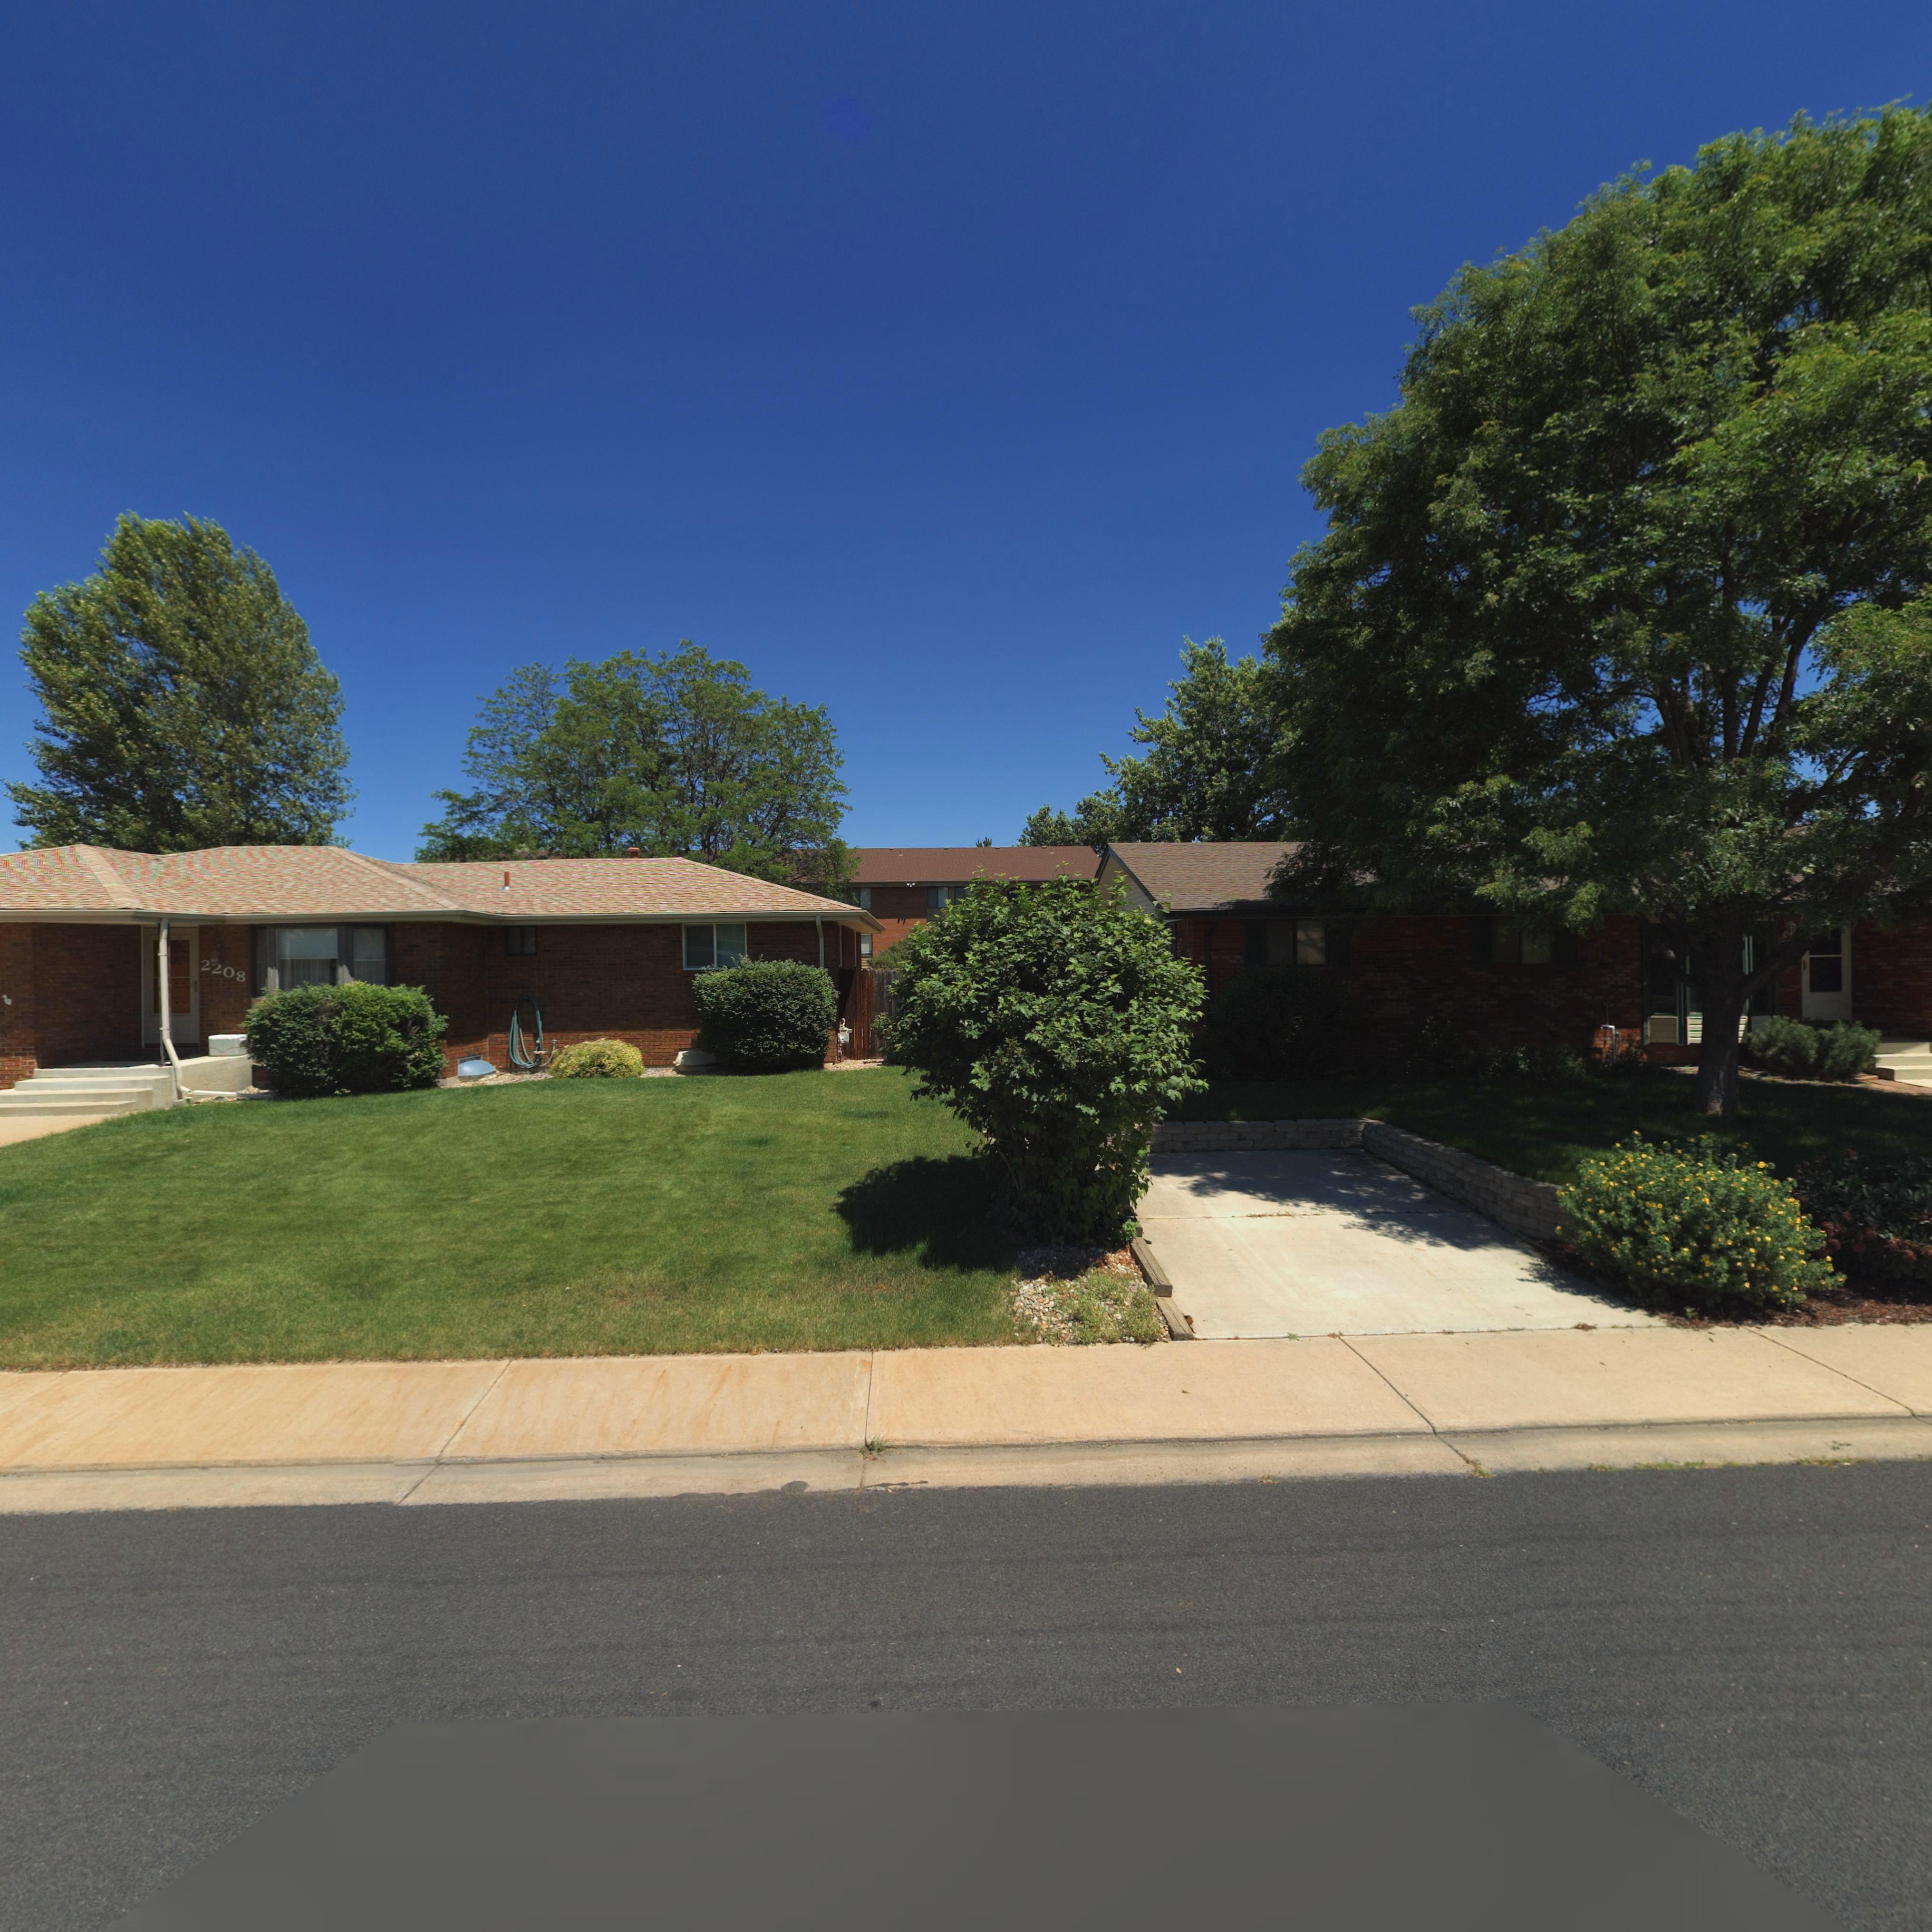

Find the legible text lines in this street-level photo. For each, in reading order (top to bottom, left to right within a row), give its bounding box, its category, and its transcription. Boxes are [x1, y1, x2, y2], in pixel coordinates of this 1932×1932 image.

[199, 958, 247, 984] StreetNumber: 2208